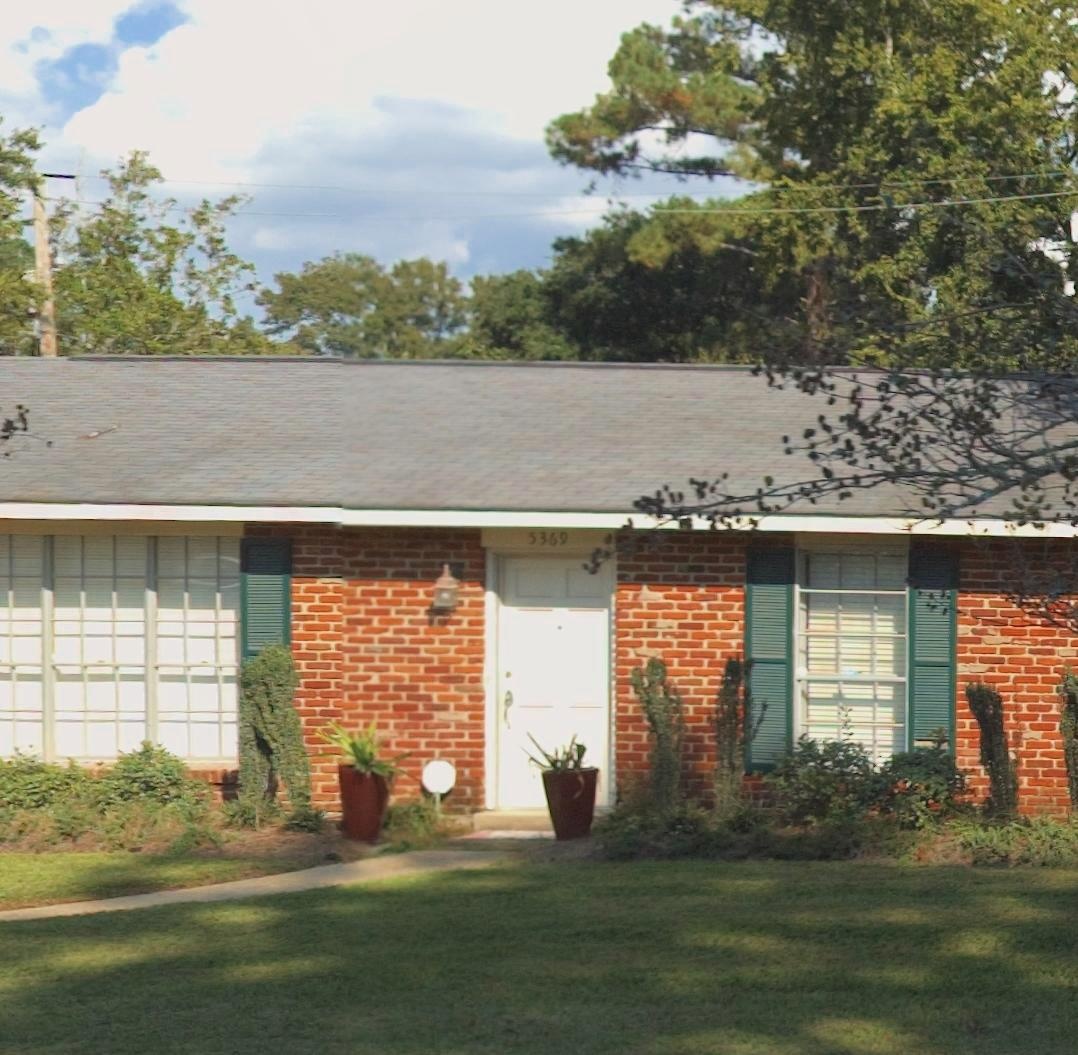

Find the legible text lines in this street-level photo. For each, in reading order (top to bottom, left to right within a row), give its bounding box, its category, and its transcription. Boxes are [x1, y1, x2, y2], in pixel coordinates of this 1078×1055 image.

[528, 531, 568, 546] StreetNumber: 5369